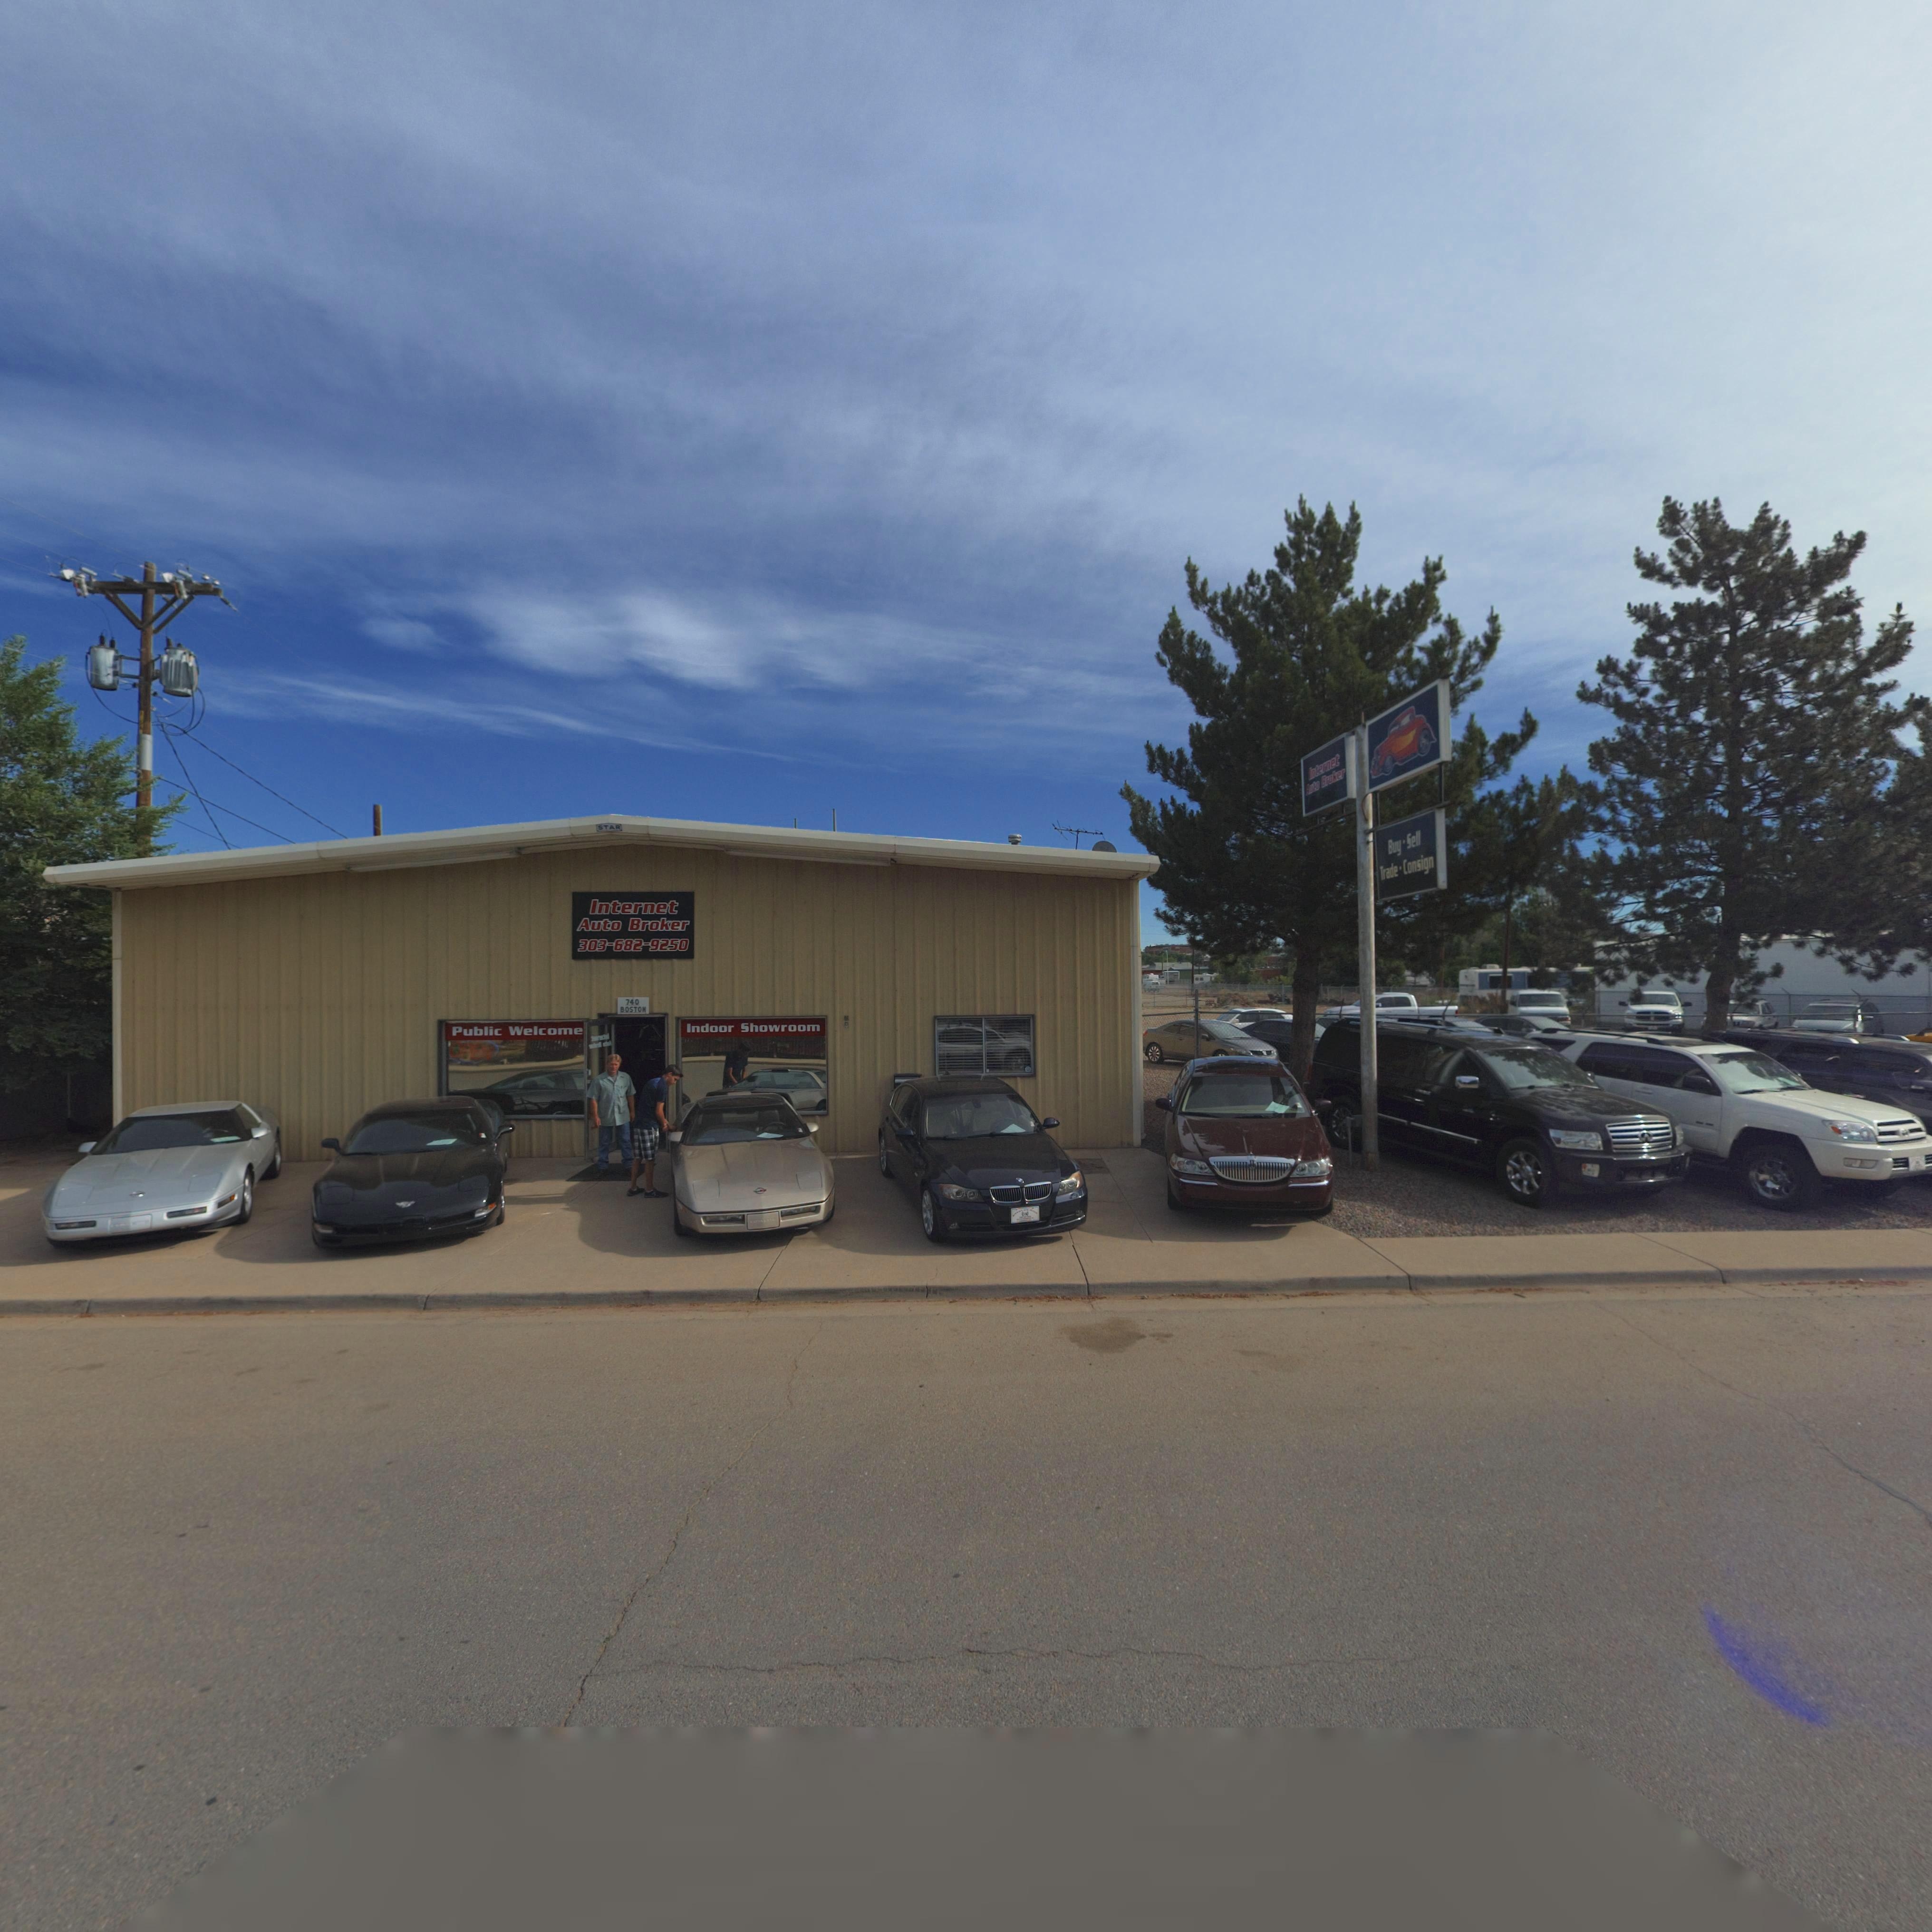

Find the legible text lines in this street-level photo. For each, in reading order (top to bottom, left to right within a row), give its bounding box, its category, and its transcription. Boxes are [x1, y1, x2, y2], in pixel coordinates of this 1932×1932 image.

[1308, 753, 1340, 781] BusinessName: Internet
[1306, 769, 1345, 795] BusinessName: Auto Broker
[589, 899, 678, 914] BusinessName: Internet
[576, 918, 689, 931] BusinessName: Auto Broker
[626, 999, 639, 1005] StreetNumber: 740
[620, 1006, 646, 1012] StreetName: BOSTON